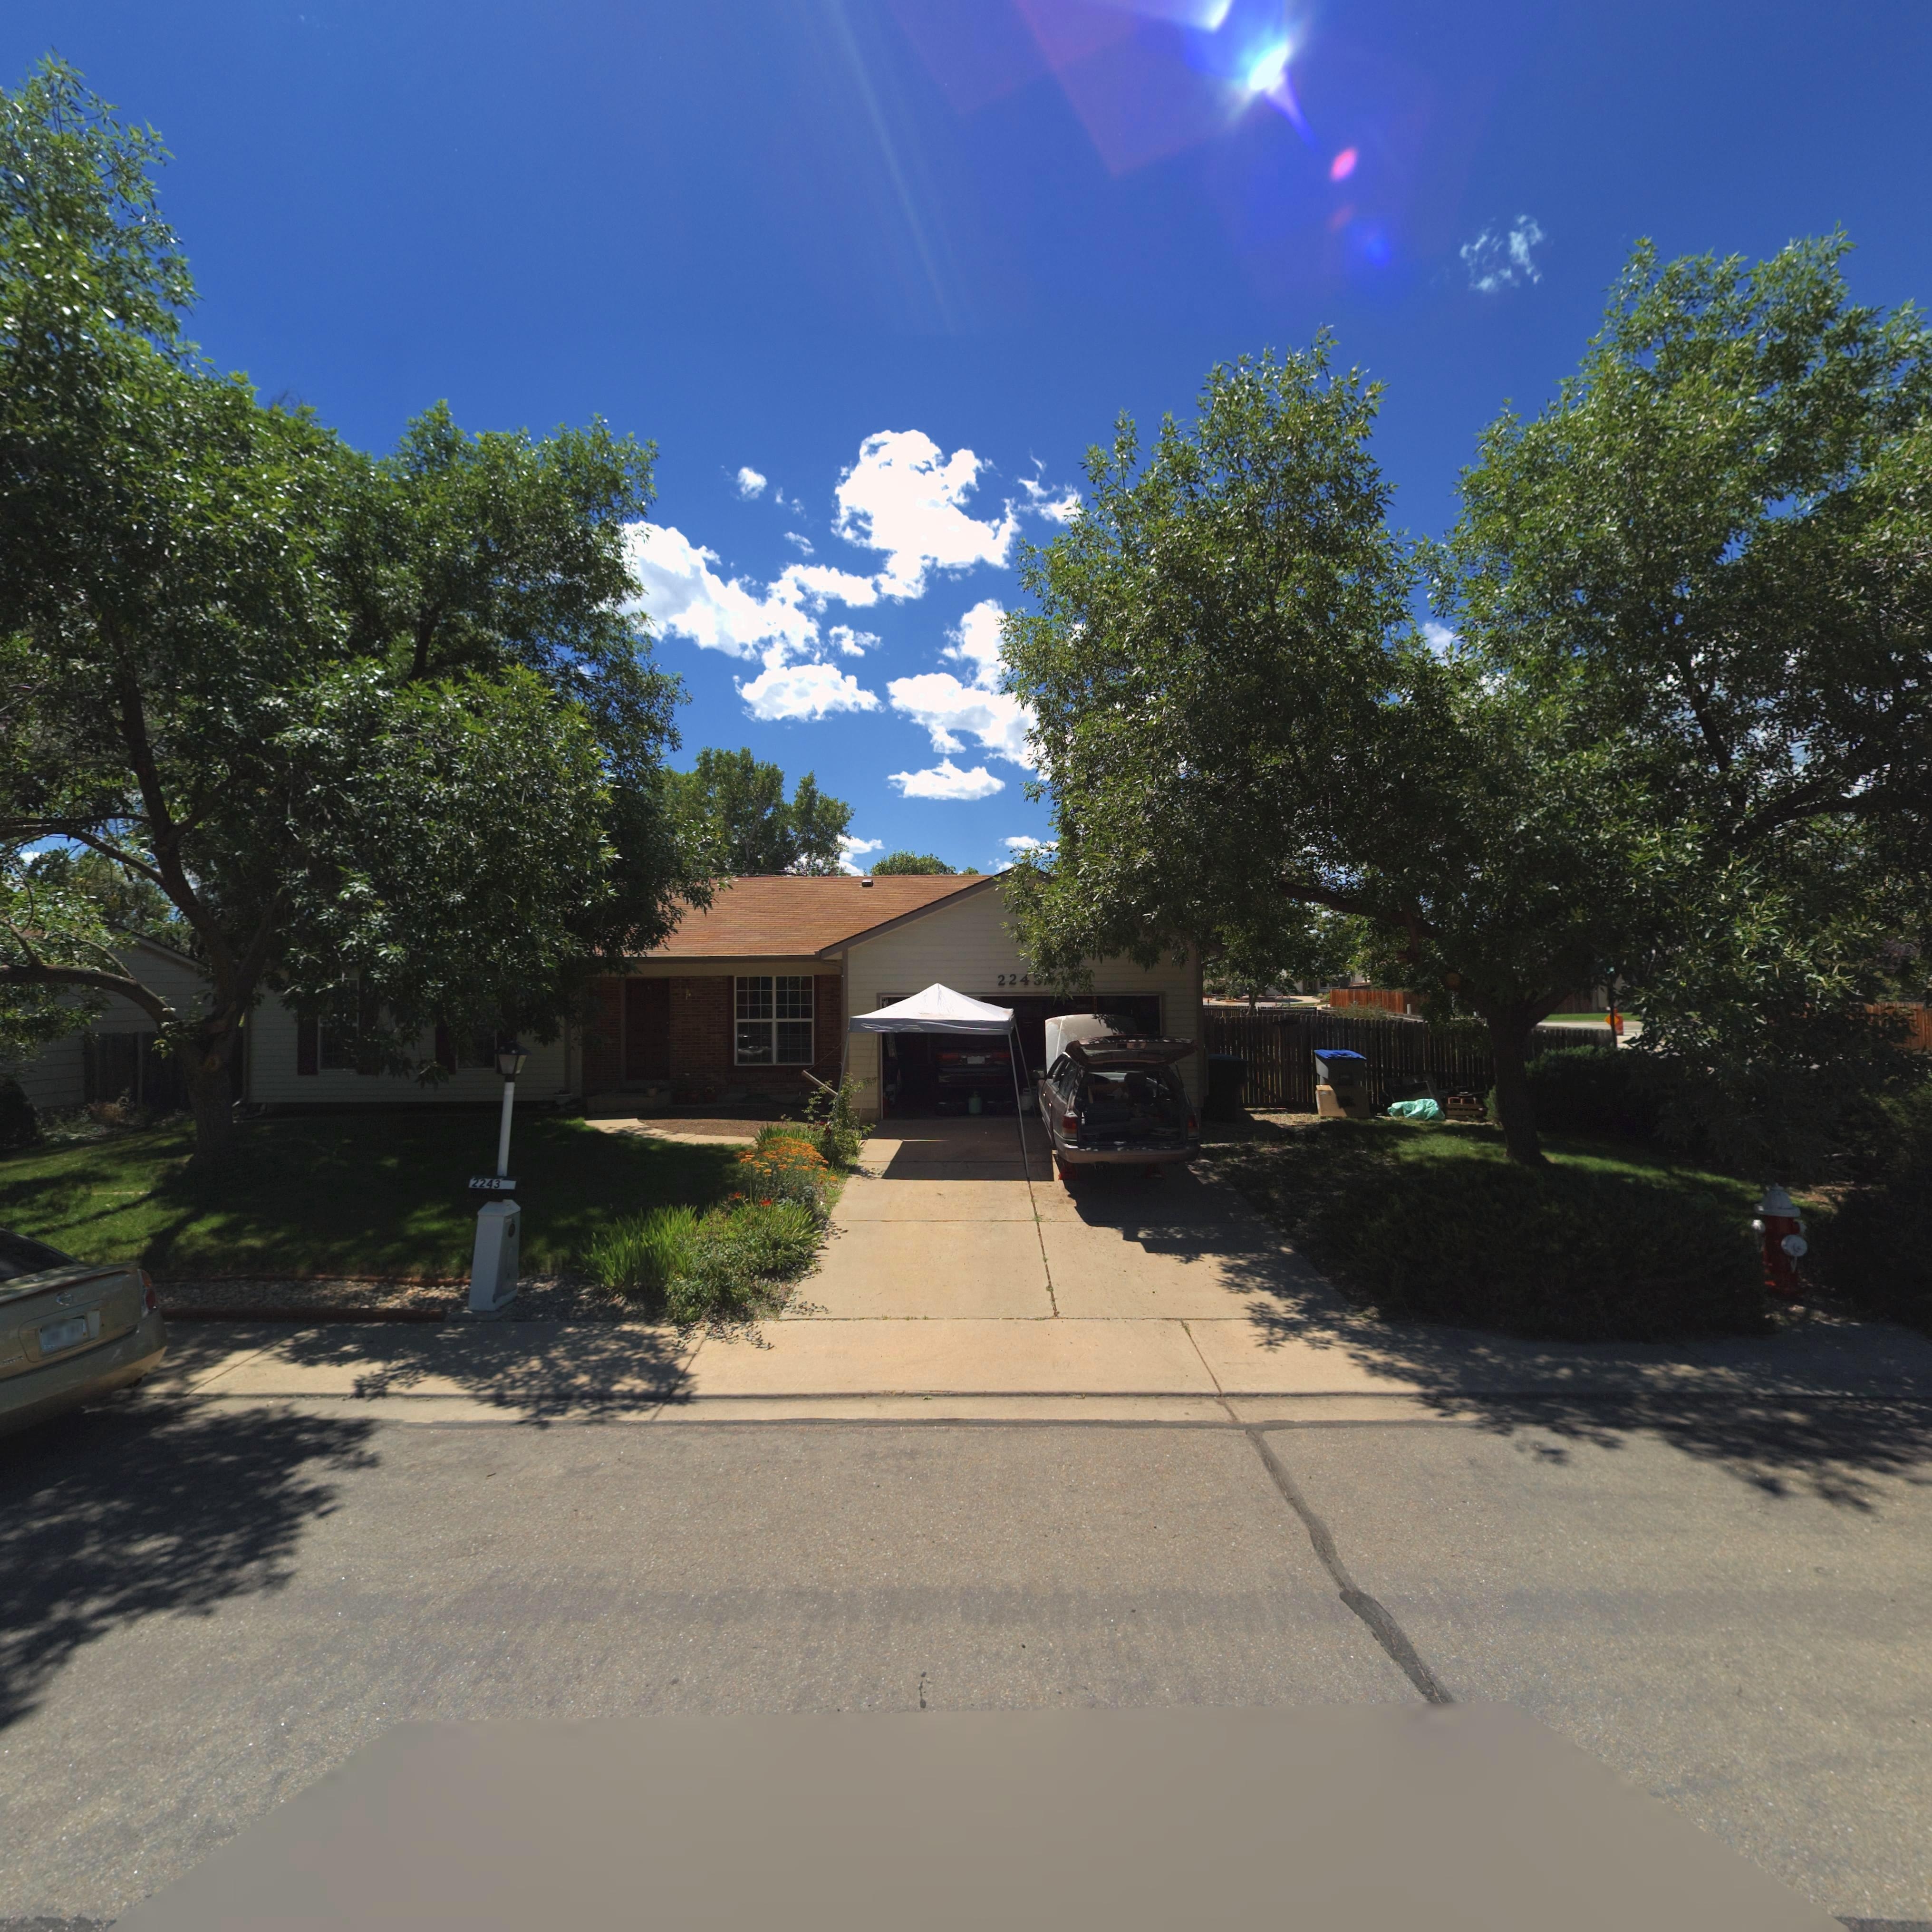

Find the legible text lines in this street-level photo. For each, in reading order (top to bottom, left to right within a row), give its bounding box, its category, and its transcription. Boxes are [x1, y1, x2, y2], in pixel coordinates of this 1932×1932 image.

[997, 972, 1042, 986] StreetNumber: 224*
[470, 1178, 502, 1189] StreetNumber: 2243